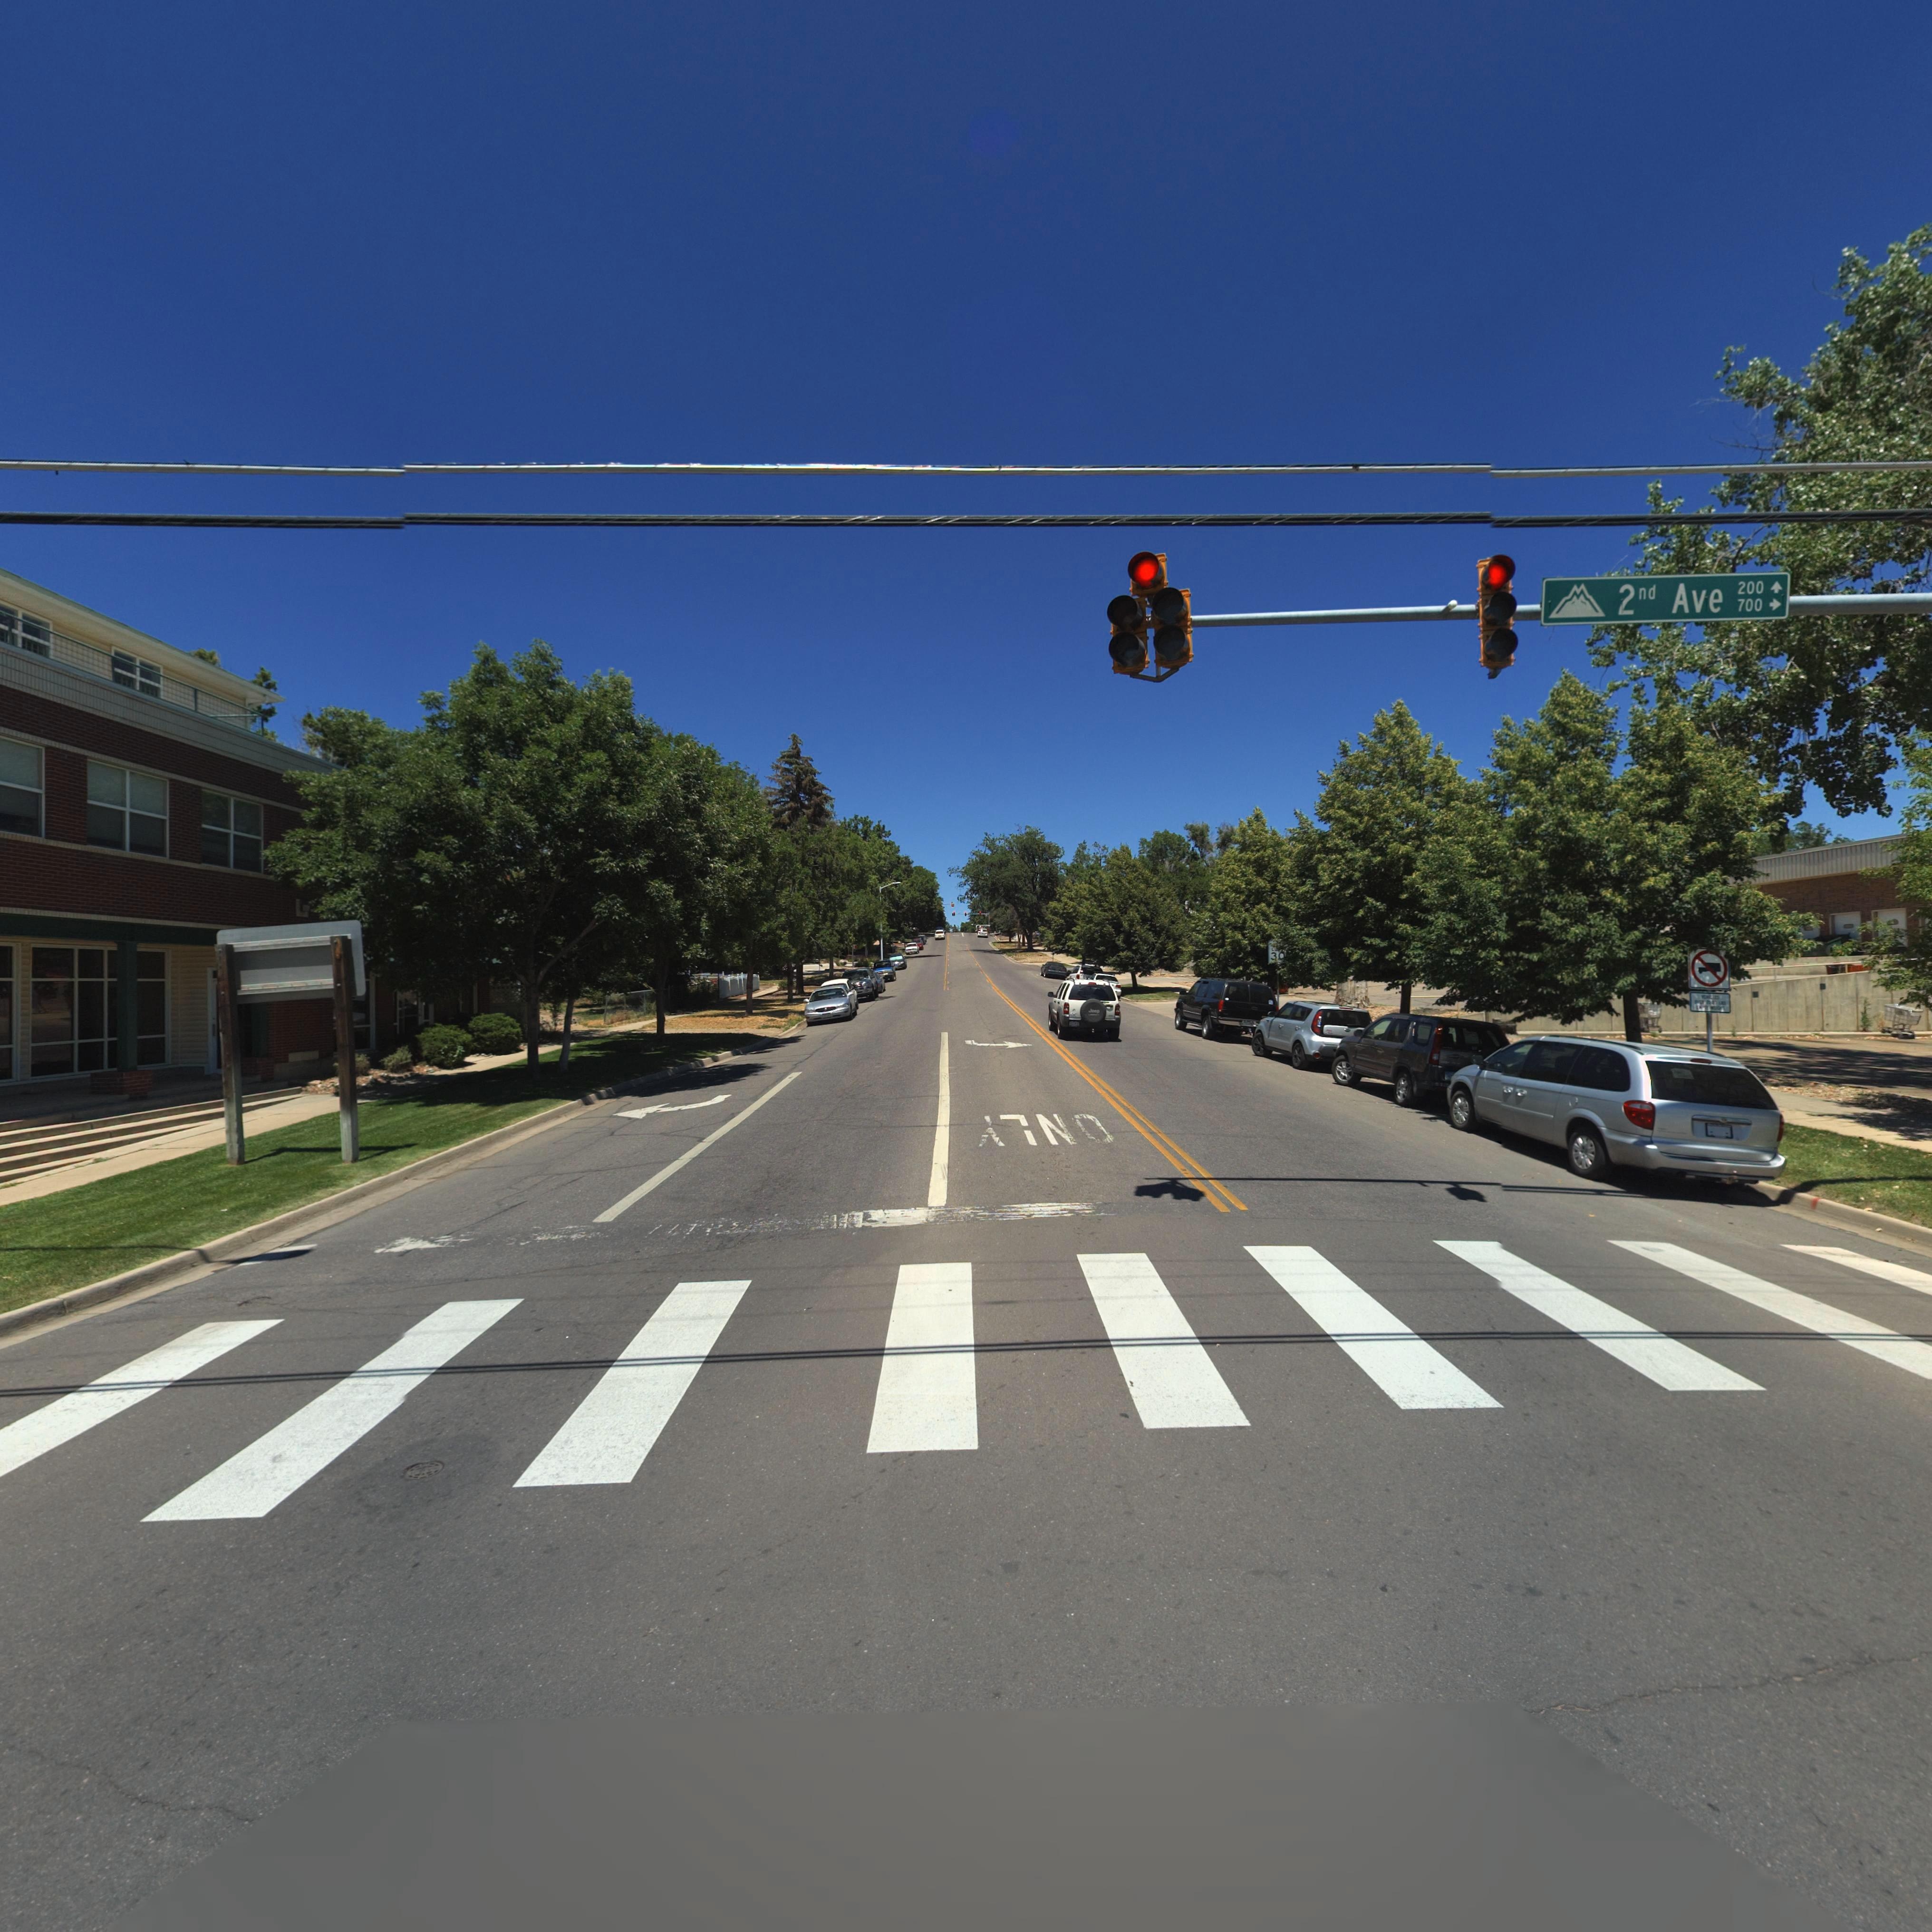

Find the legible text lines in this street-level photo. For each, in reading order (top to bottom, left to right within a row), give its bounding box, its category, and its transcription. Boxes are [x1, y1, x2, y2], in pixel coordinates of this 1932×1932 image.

[1737, 580, 1764, 595] StreetNumberRange: 200
[1617, 582, 1724, 616] StreetName: 2nd Ave
[1737, 598, 1782, 612] StreetNumberRange: 700->